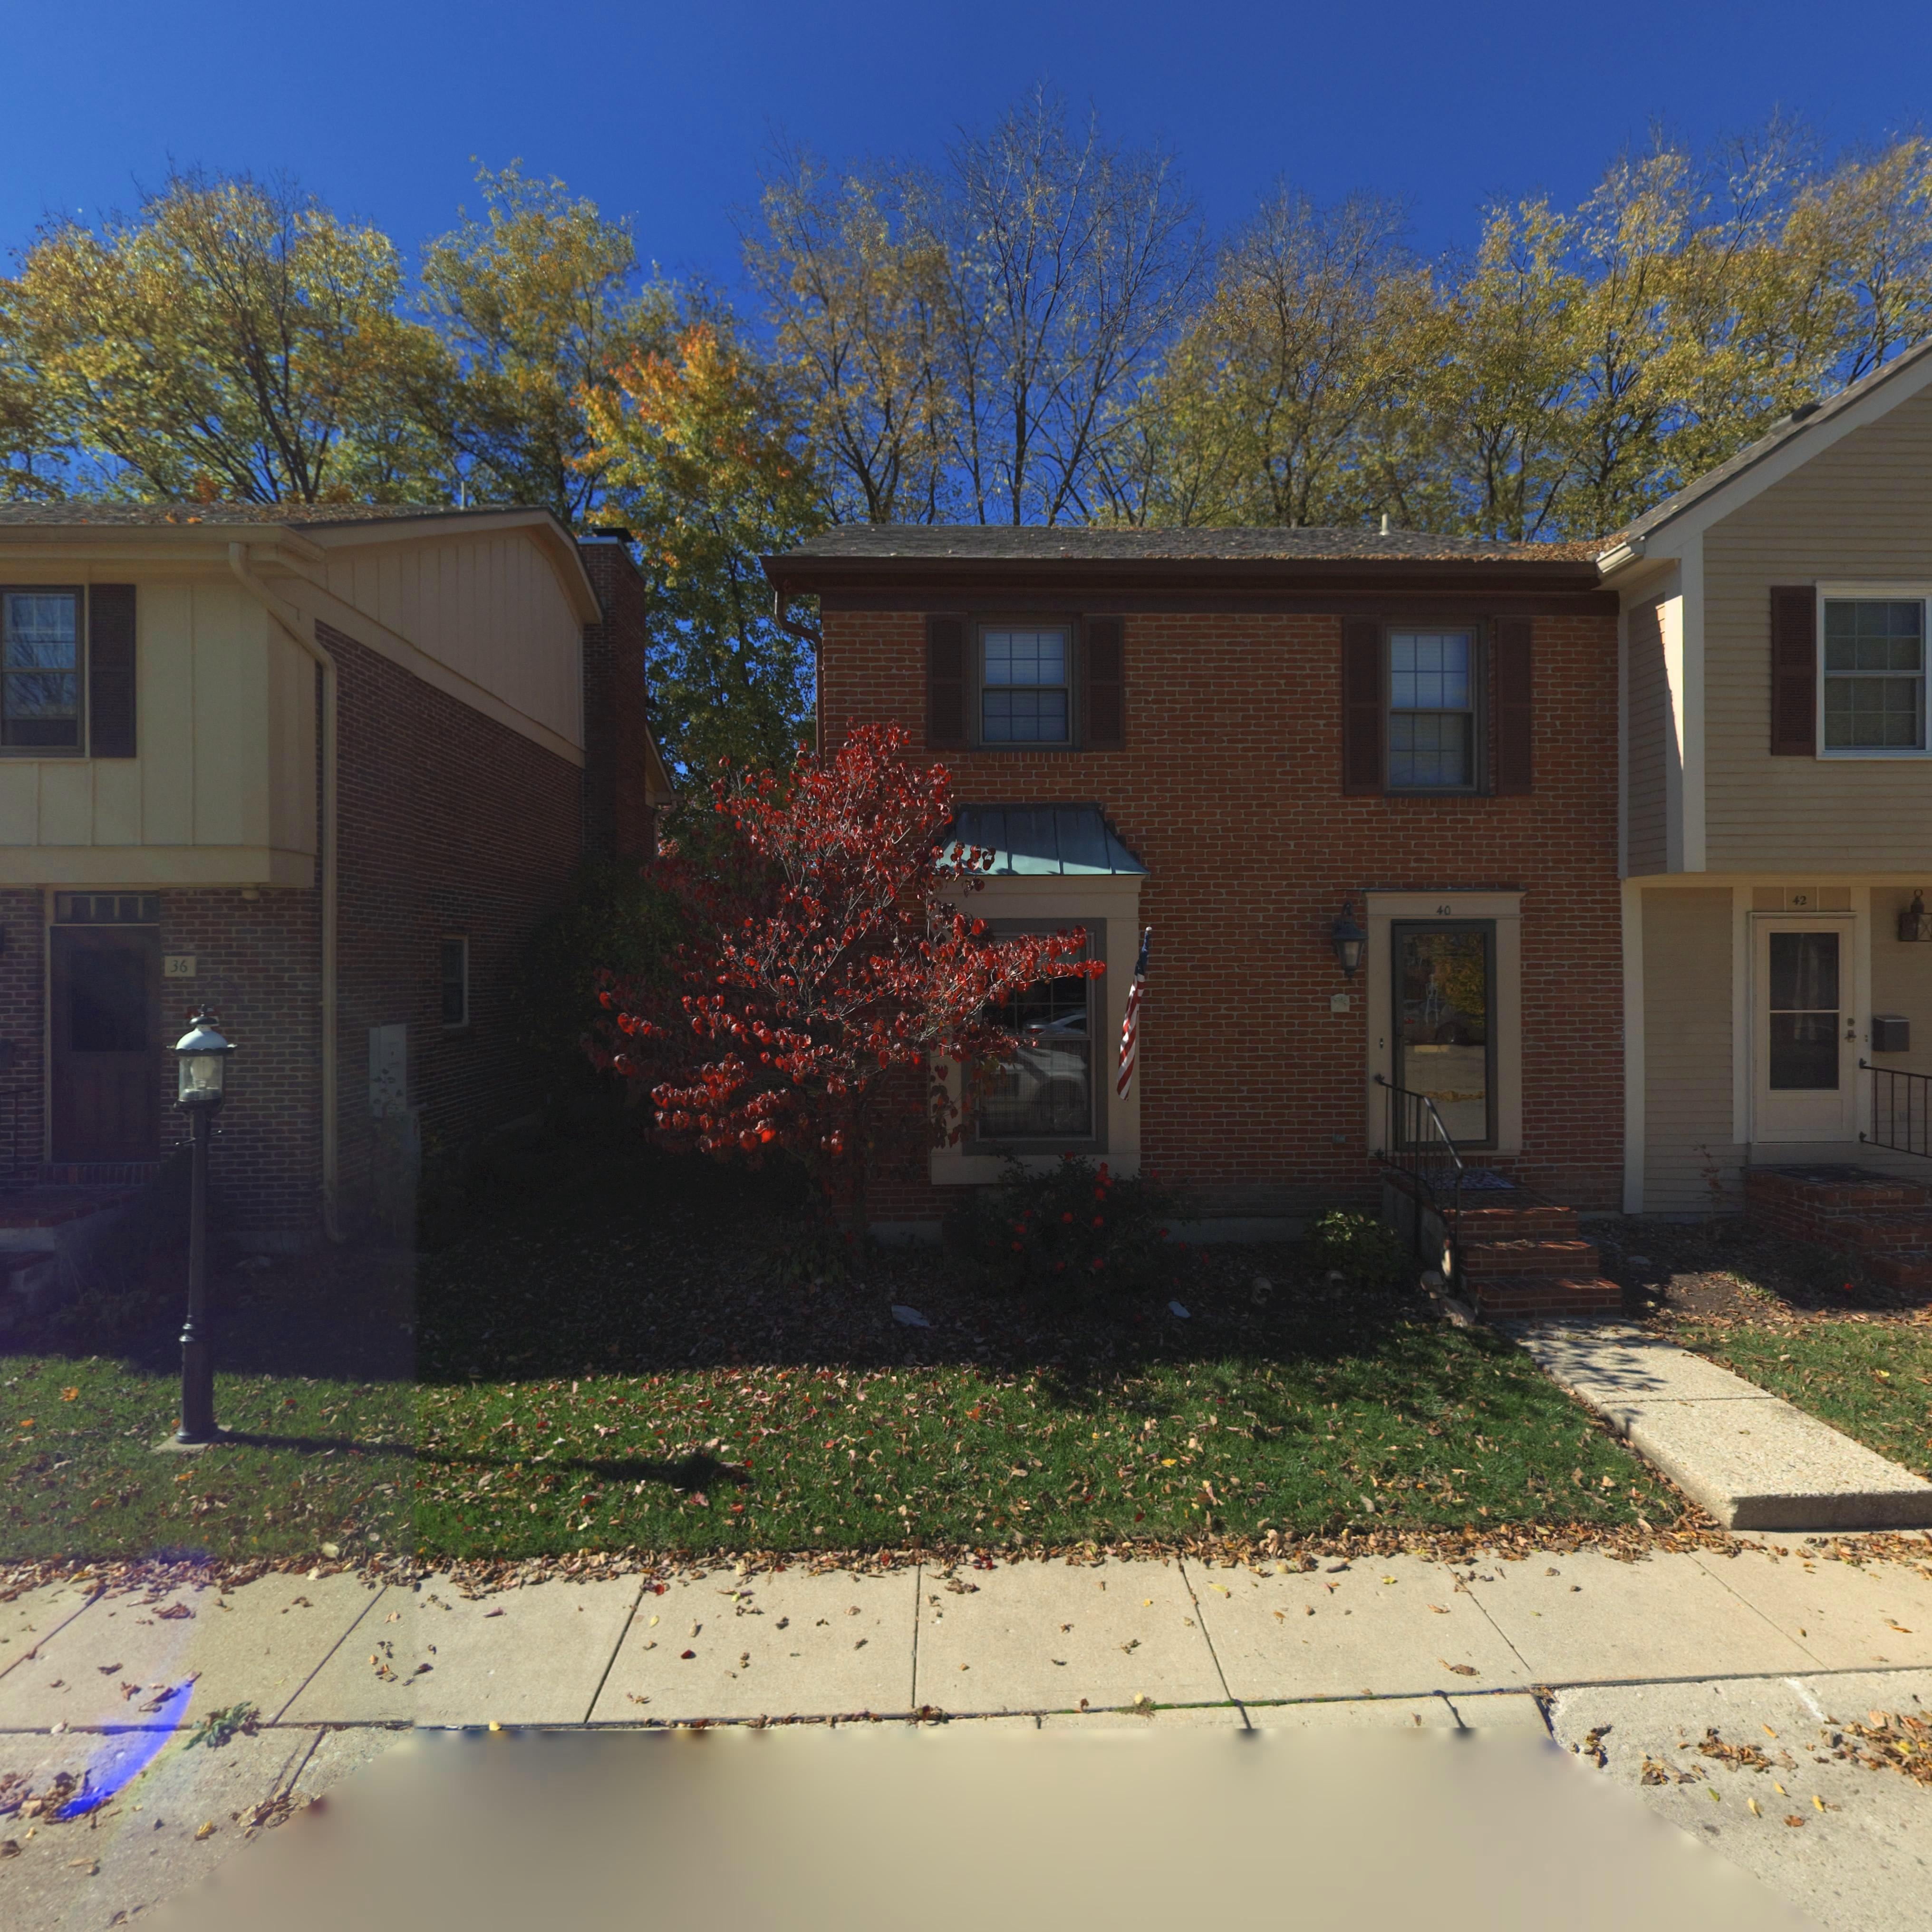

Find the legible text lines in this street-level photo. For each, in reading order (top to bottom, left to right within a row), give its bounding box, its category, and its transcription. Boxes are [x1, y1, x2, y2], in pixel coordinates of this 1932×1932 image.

[1791, 895, 1807, 906] StreetNumber: 42
[1435, 905, 1451, 916] StreetNumber: 40
[169, 959, 187, 973] StreetNumber: 36